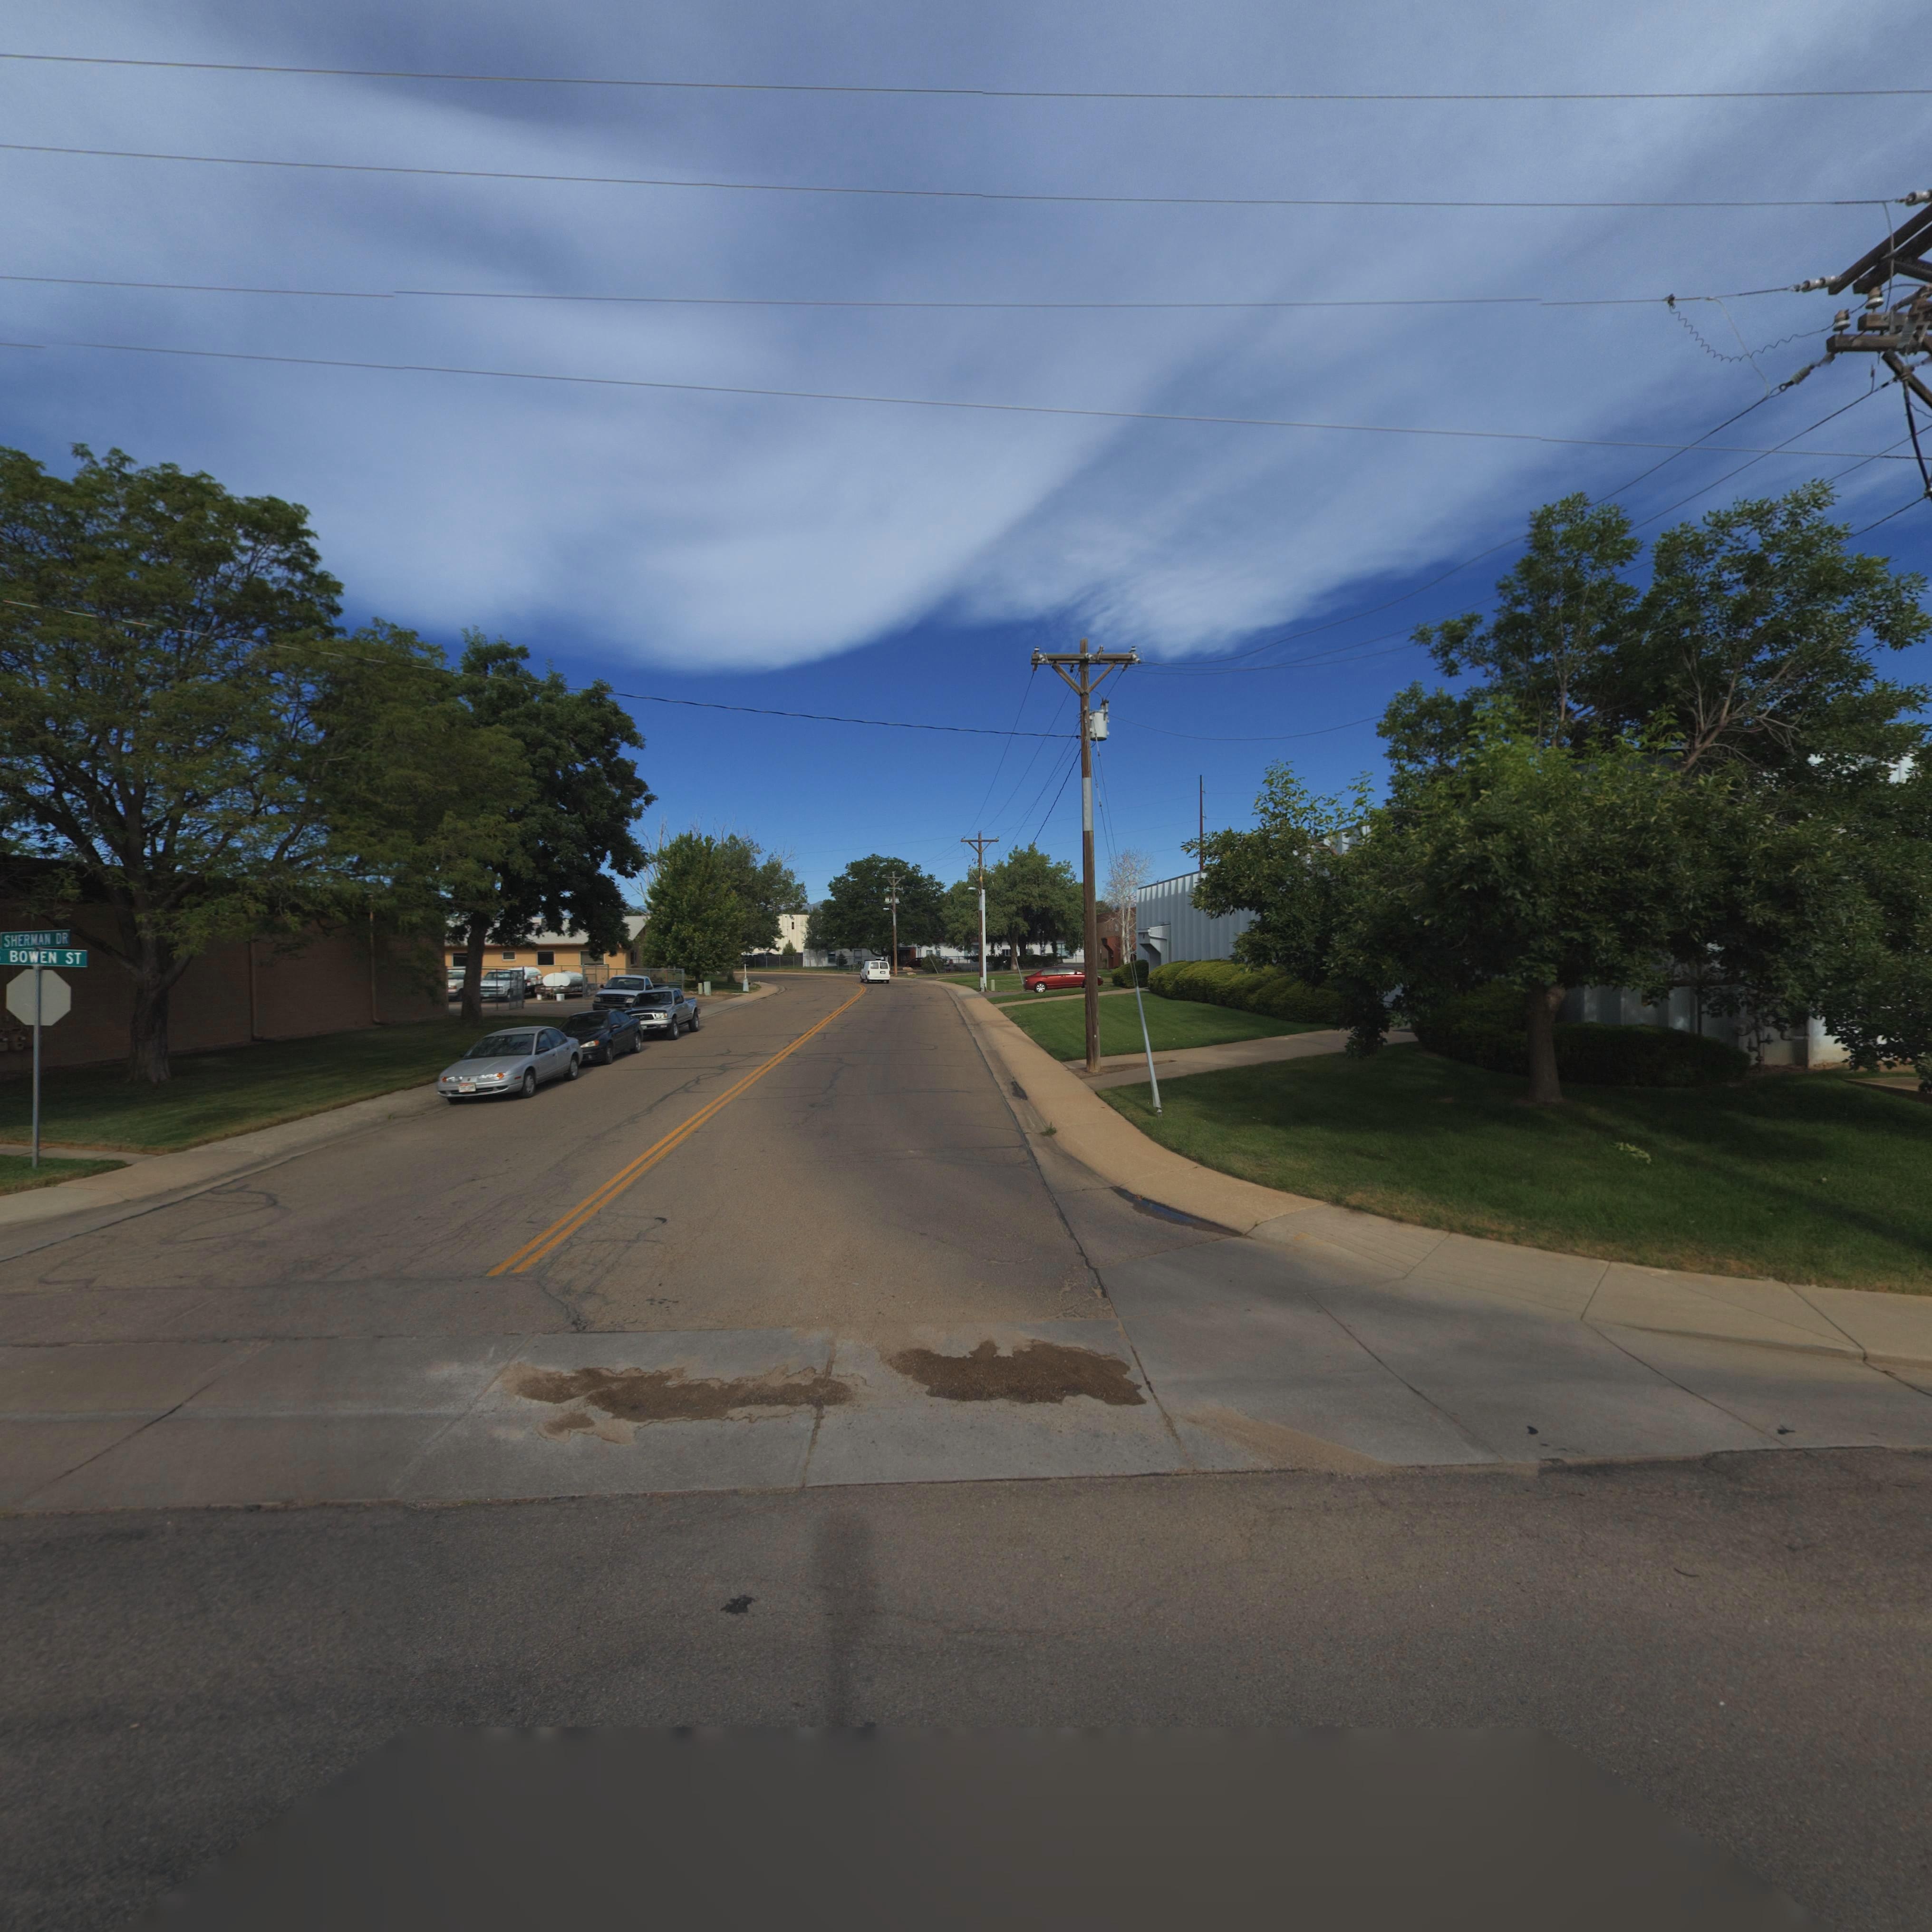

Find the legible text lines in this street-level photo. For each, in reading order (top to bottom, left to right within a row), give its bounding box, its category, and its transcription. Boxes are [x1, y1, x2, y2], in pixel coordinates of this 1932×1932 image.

[3, 931, 70, 948] StreetName: SHERMAN ST
[8, 949, 84, 965] StreetName: BOWEN ST